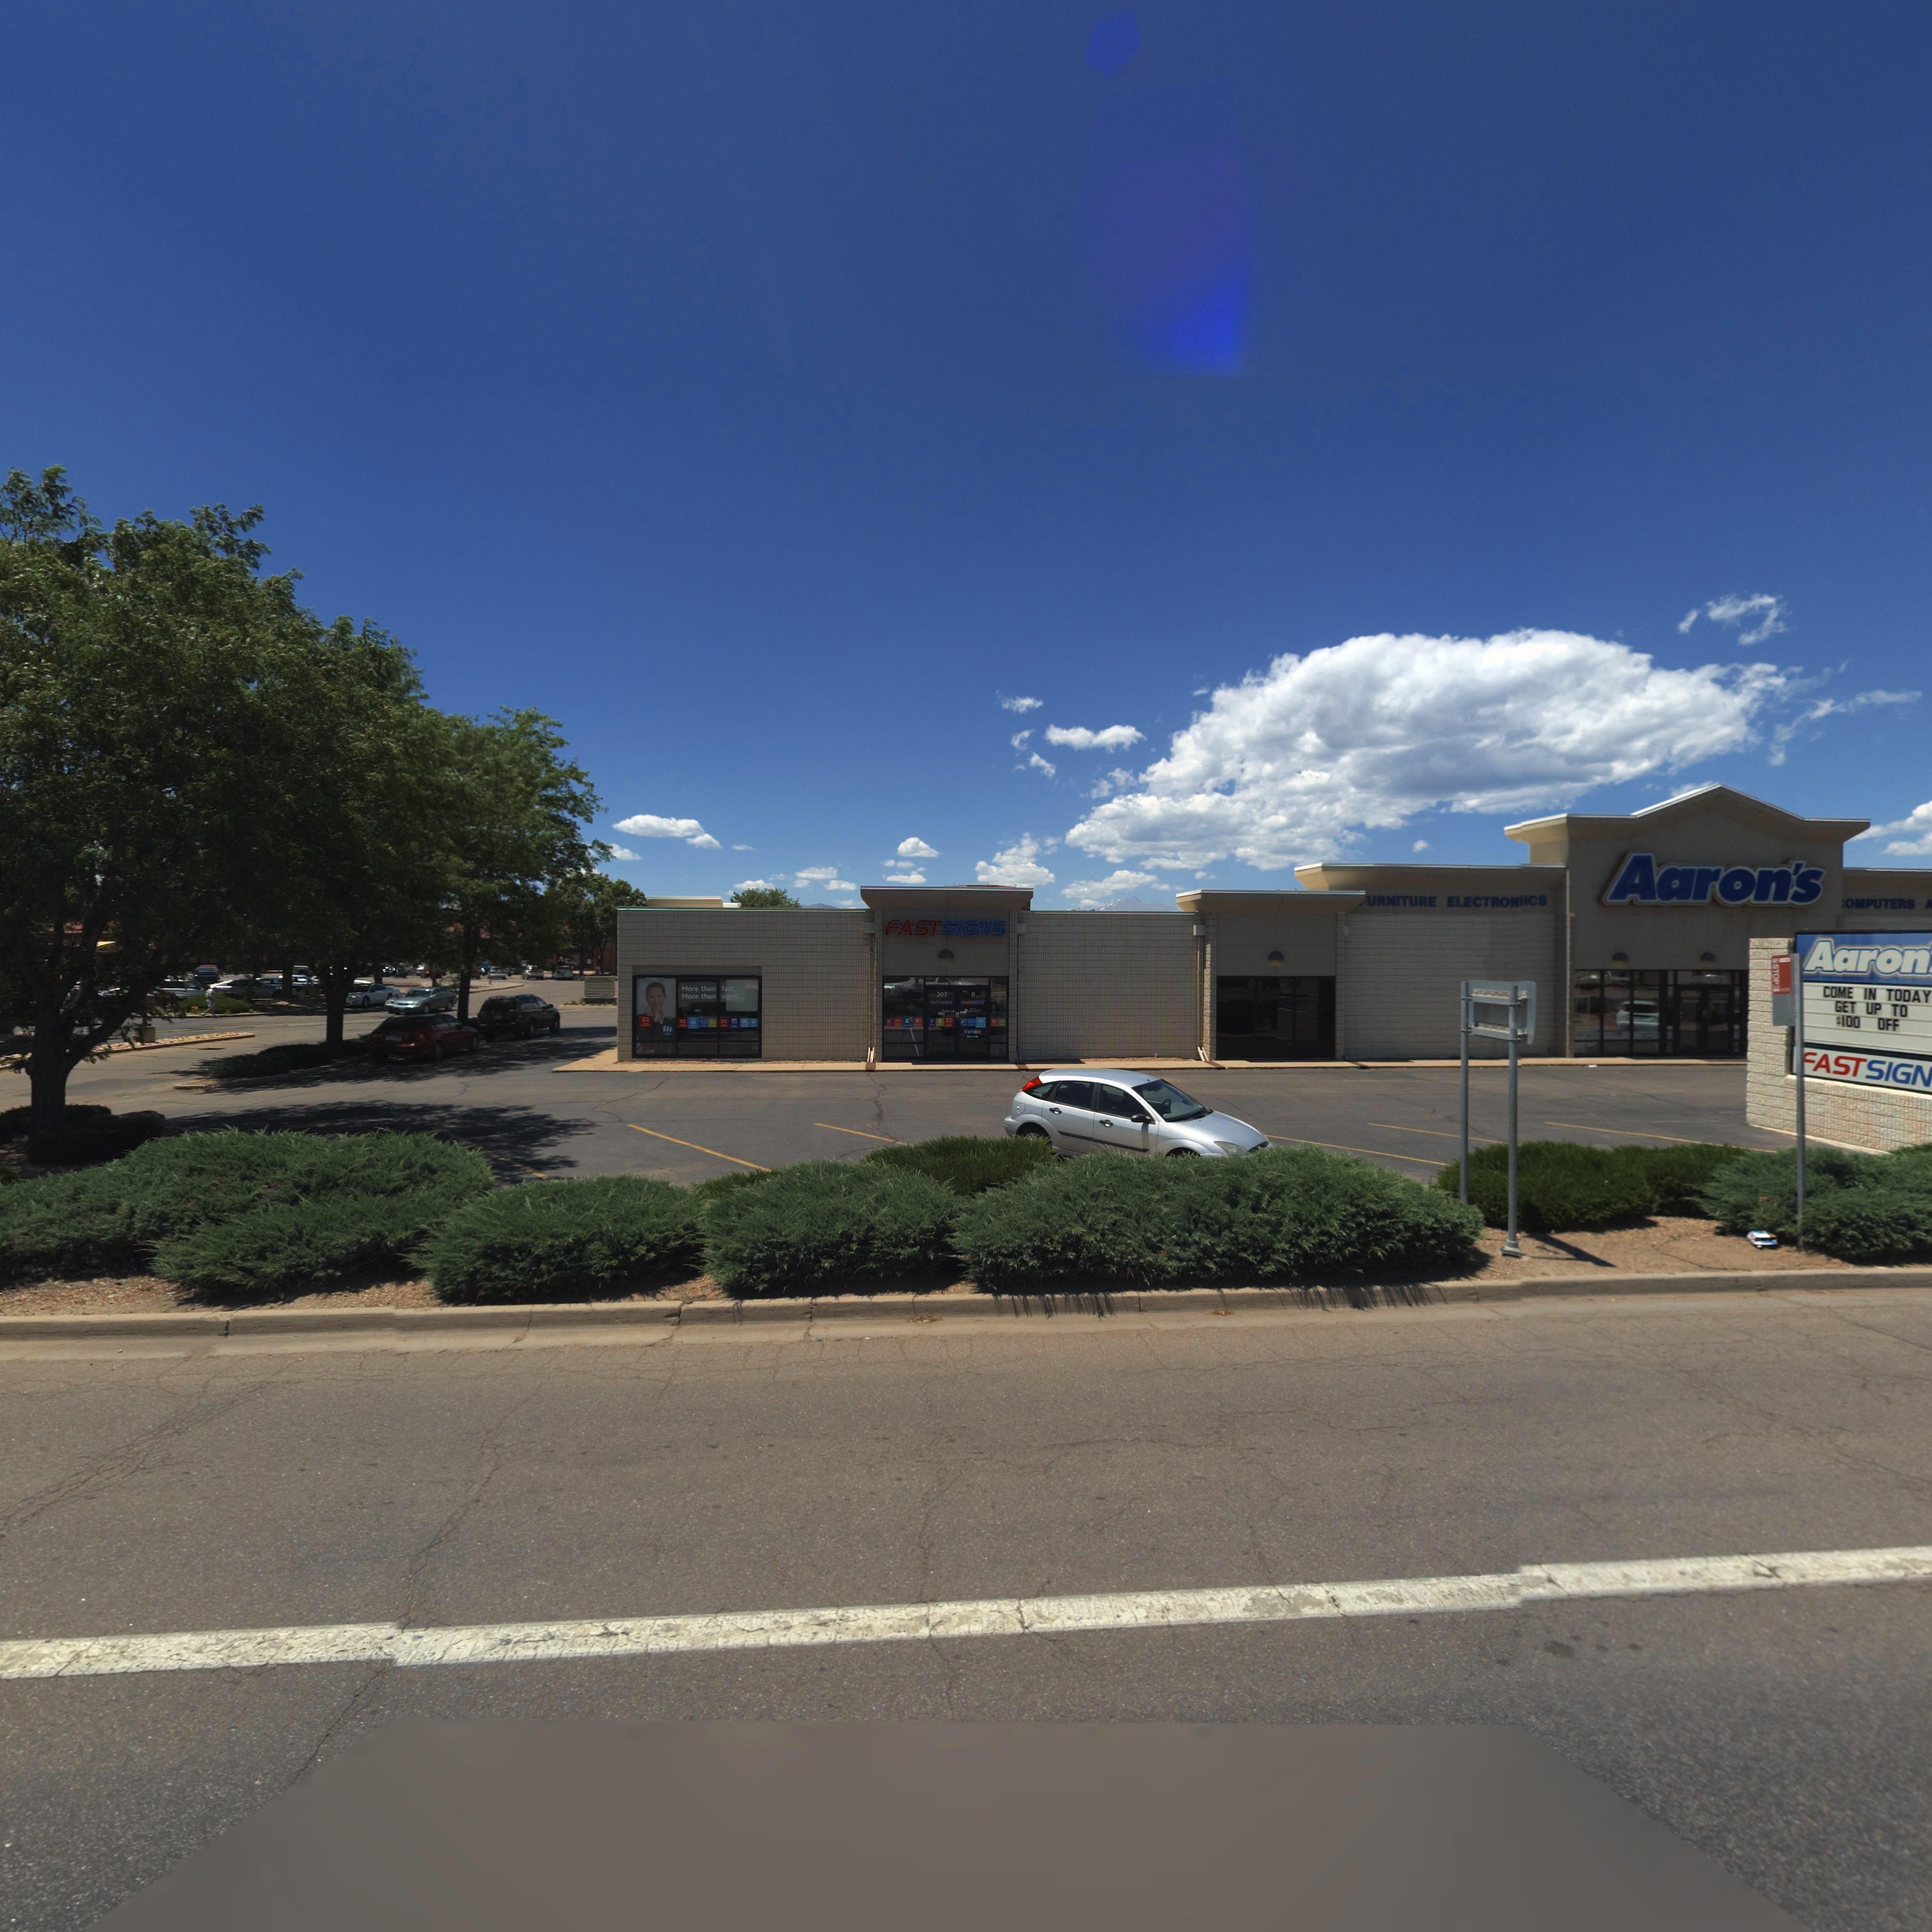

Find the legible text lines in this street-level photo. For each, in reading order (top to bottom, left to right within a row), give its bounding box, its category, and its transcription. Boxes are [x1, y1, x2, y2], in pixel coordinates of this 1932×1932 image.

[1604, 852, 1827, 905] BusinessName: Aaron's
[883, 918, 1008, 937] BusinessName: FASTSIGNS
[1801, 938, 1930, 975] BusinessName: Aaron
[936, 991, 947, 997] StreetNumber: 203
[971, 991, 975, 997] StreetNumber: B
[1811, 1052, 1932, 1088] BusinessName: AST SIGN